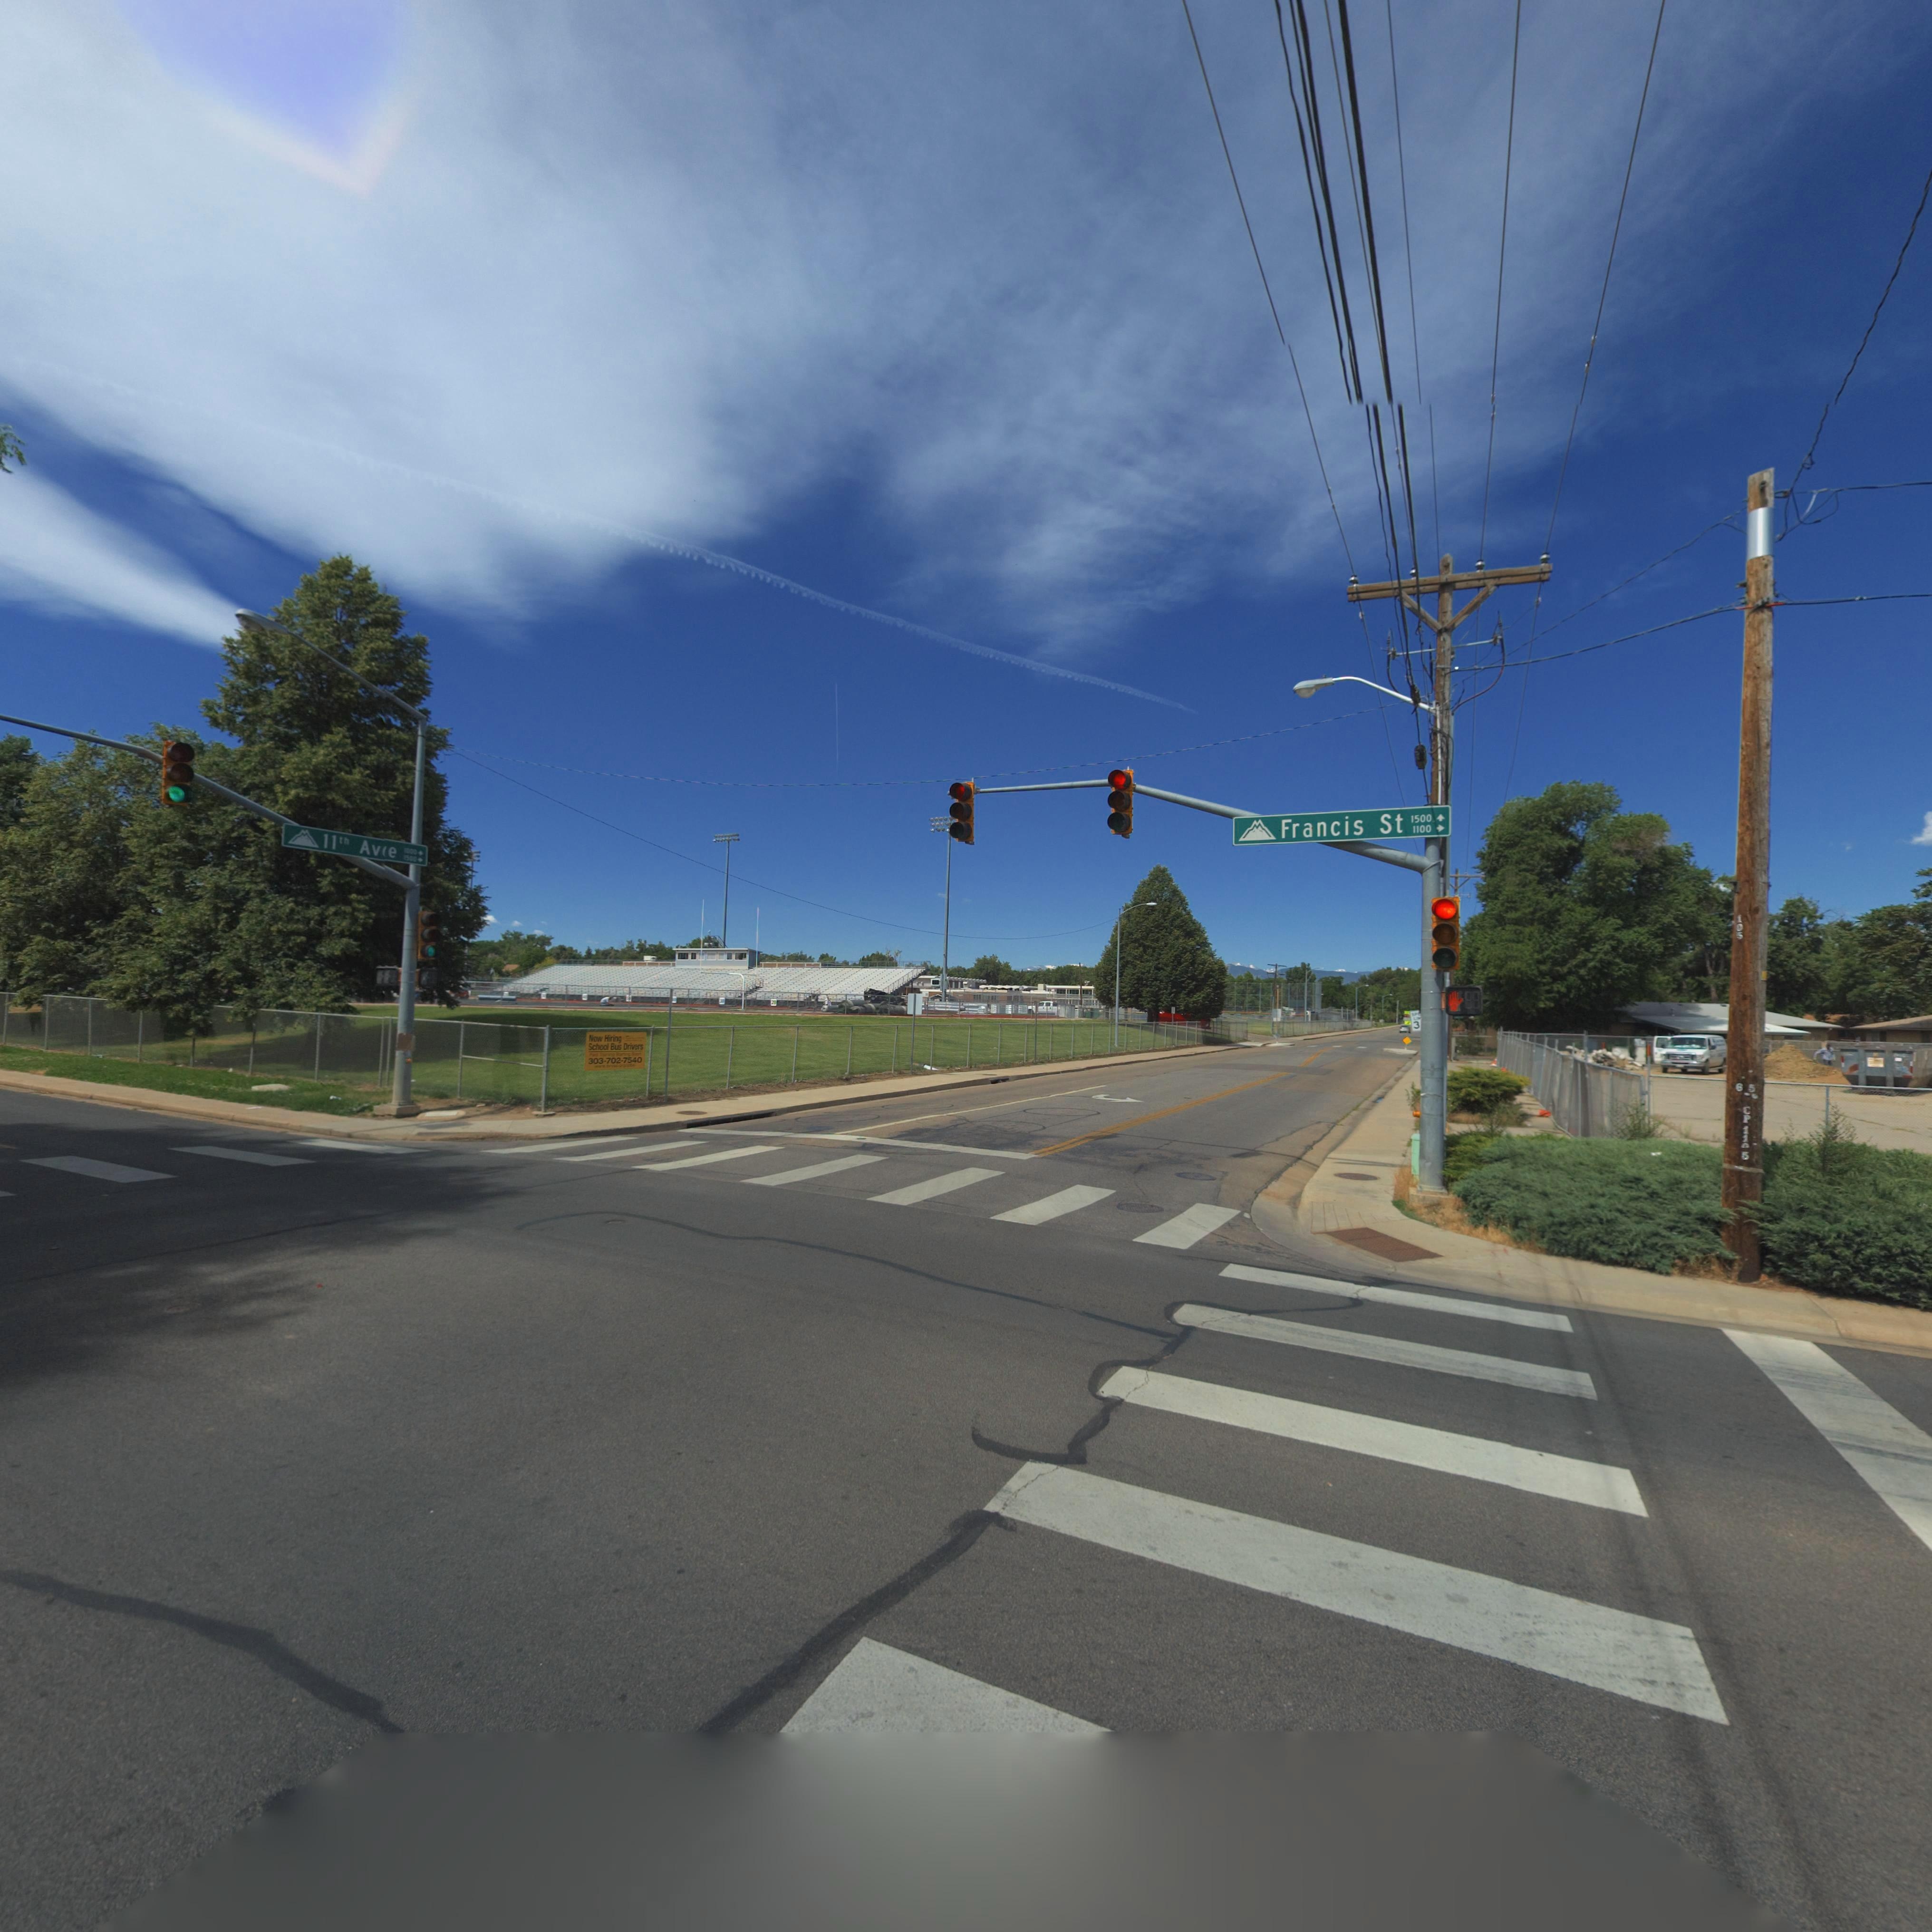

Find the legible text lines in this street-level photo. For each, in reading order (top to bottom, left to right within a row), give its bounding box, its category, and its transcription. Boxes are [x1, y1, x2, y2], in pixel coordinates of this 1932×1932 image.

[1410, 813, 1432, 823] StreetNumberRange: 1500
[1280, 812, 1404, 839] StreetName: Francis St
[1412, 824, 1445, 833] StreetNumber: 1100 ->
[322, 833, 398, 859] StreetNumber: 11th Ave
[404, 848, 417, 855] StreetNumberRange: *000
[403, 855, 424, 862] StreetNumberRange: 1500 ->